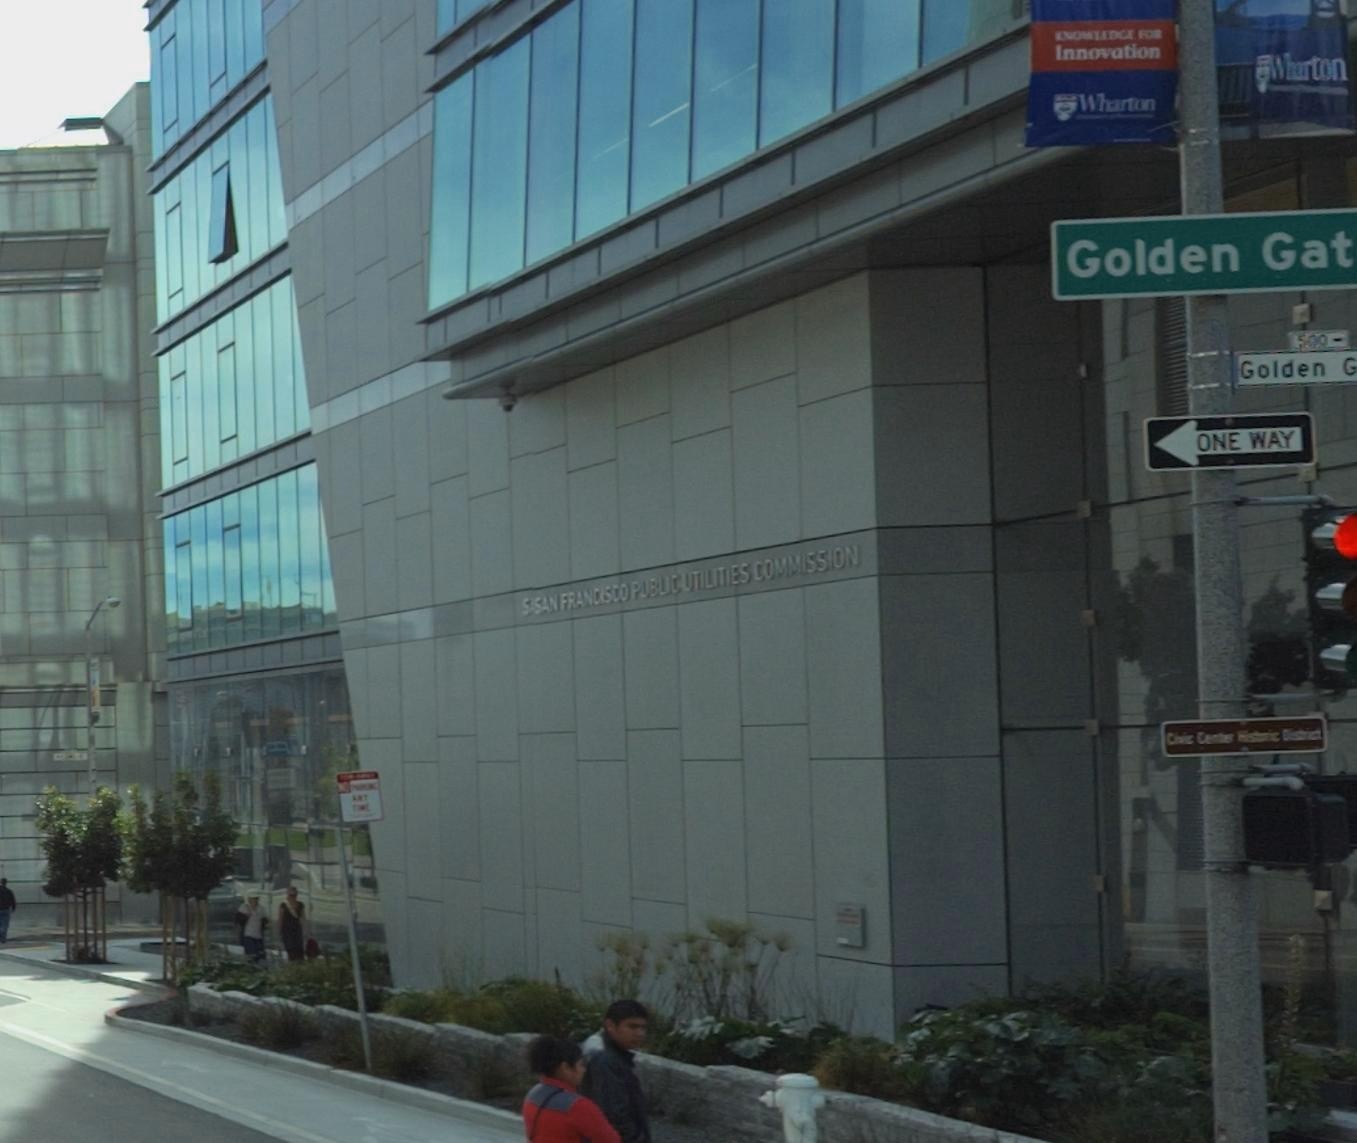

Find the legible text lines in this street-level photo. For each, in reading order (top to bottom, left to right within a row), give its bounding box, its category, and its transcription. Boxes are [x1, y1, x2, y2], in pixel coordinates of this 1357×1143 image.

[1053, 39, 1165, 63] None: Innovation
[1265, 46, 1352, 86] None: Wharton
[1073, 88, 1160, 116] None: Wharton
[1063, 224, 1354, 284] StreetName: Golden Gat
[1293, 330, 1352, 354] StreetNumberRange: 500->
[1233, 357, 1330, 383] StreetName: Golden
[1194, 427, 1299, 456] None: ONE WAY
[519, 540, 862, 617] BusinessName: S SAN FRANCISCO PUBLIC UTILITIES COMMISSION
[1163, 725, 1324, 748] None: Civic Center Historic District